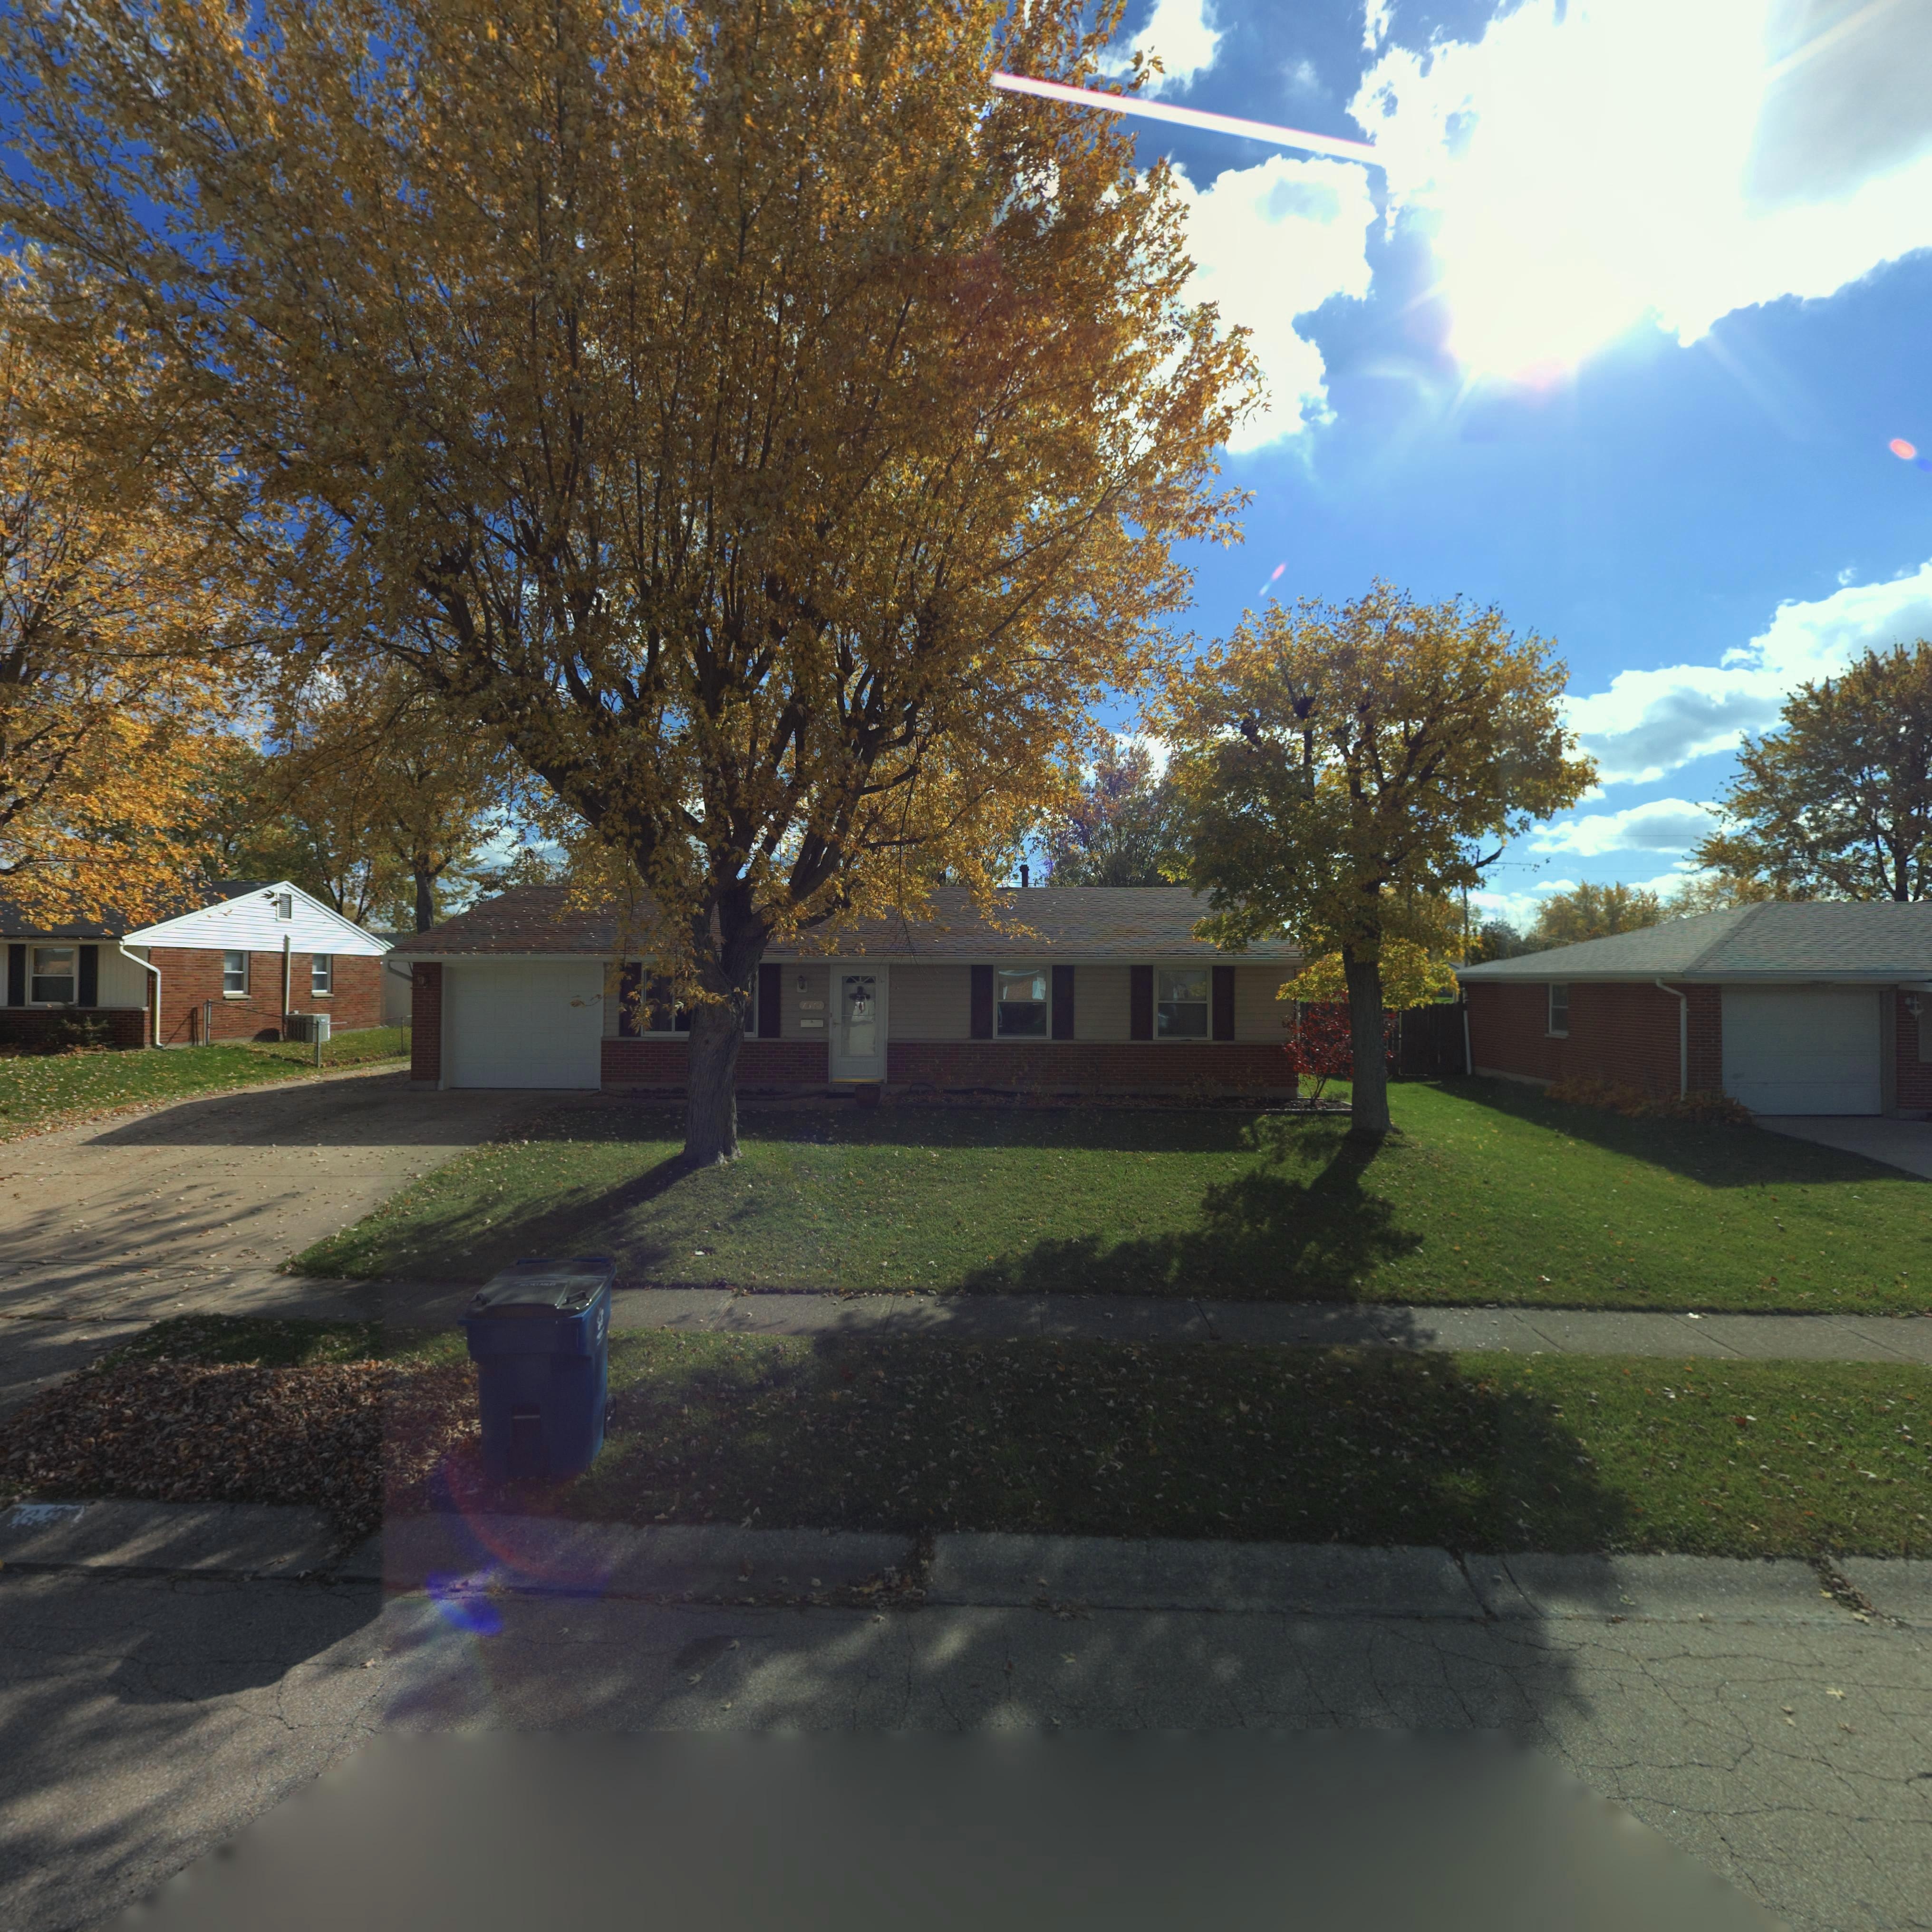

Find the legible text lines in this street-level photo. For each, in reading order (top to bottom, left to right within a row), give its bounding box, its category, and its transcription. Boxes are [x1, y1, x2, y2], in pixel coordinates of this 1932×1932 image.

[801, 1001, 823, 1010] StreetNumber: 7630
[14, 1507, 42, 1529] StreetNumber: 6